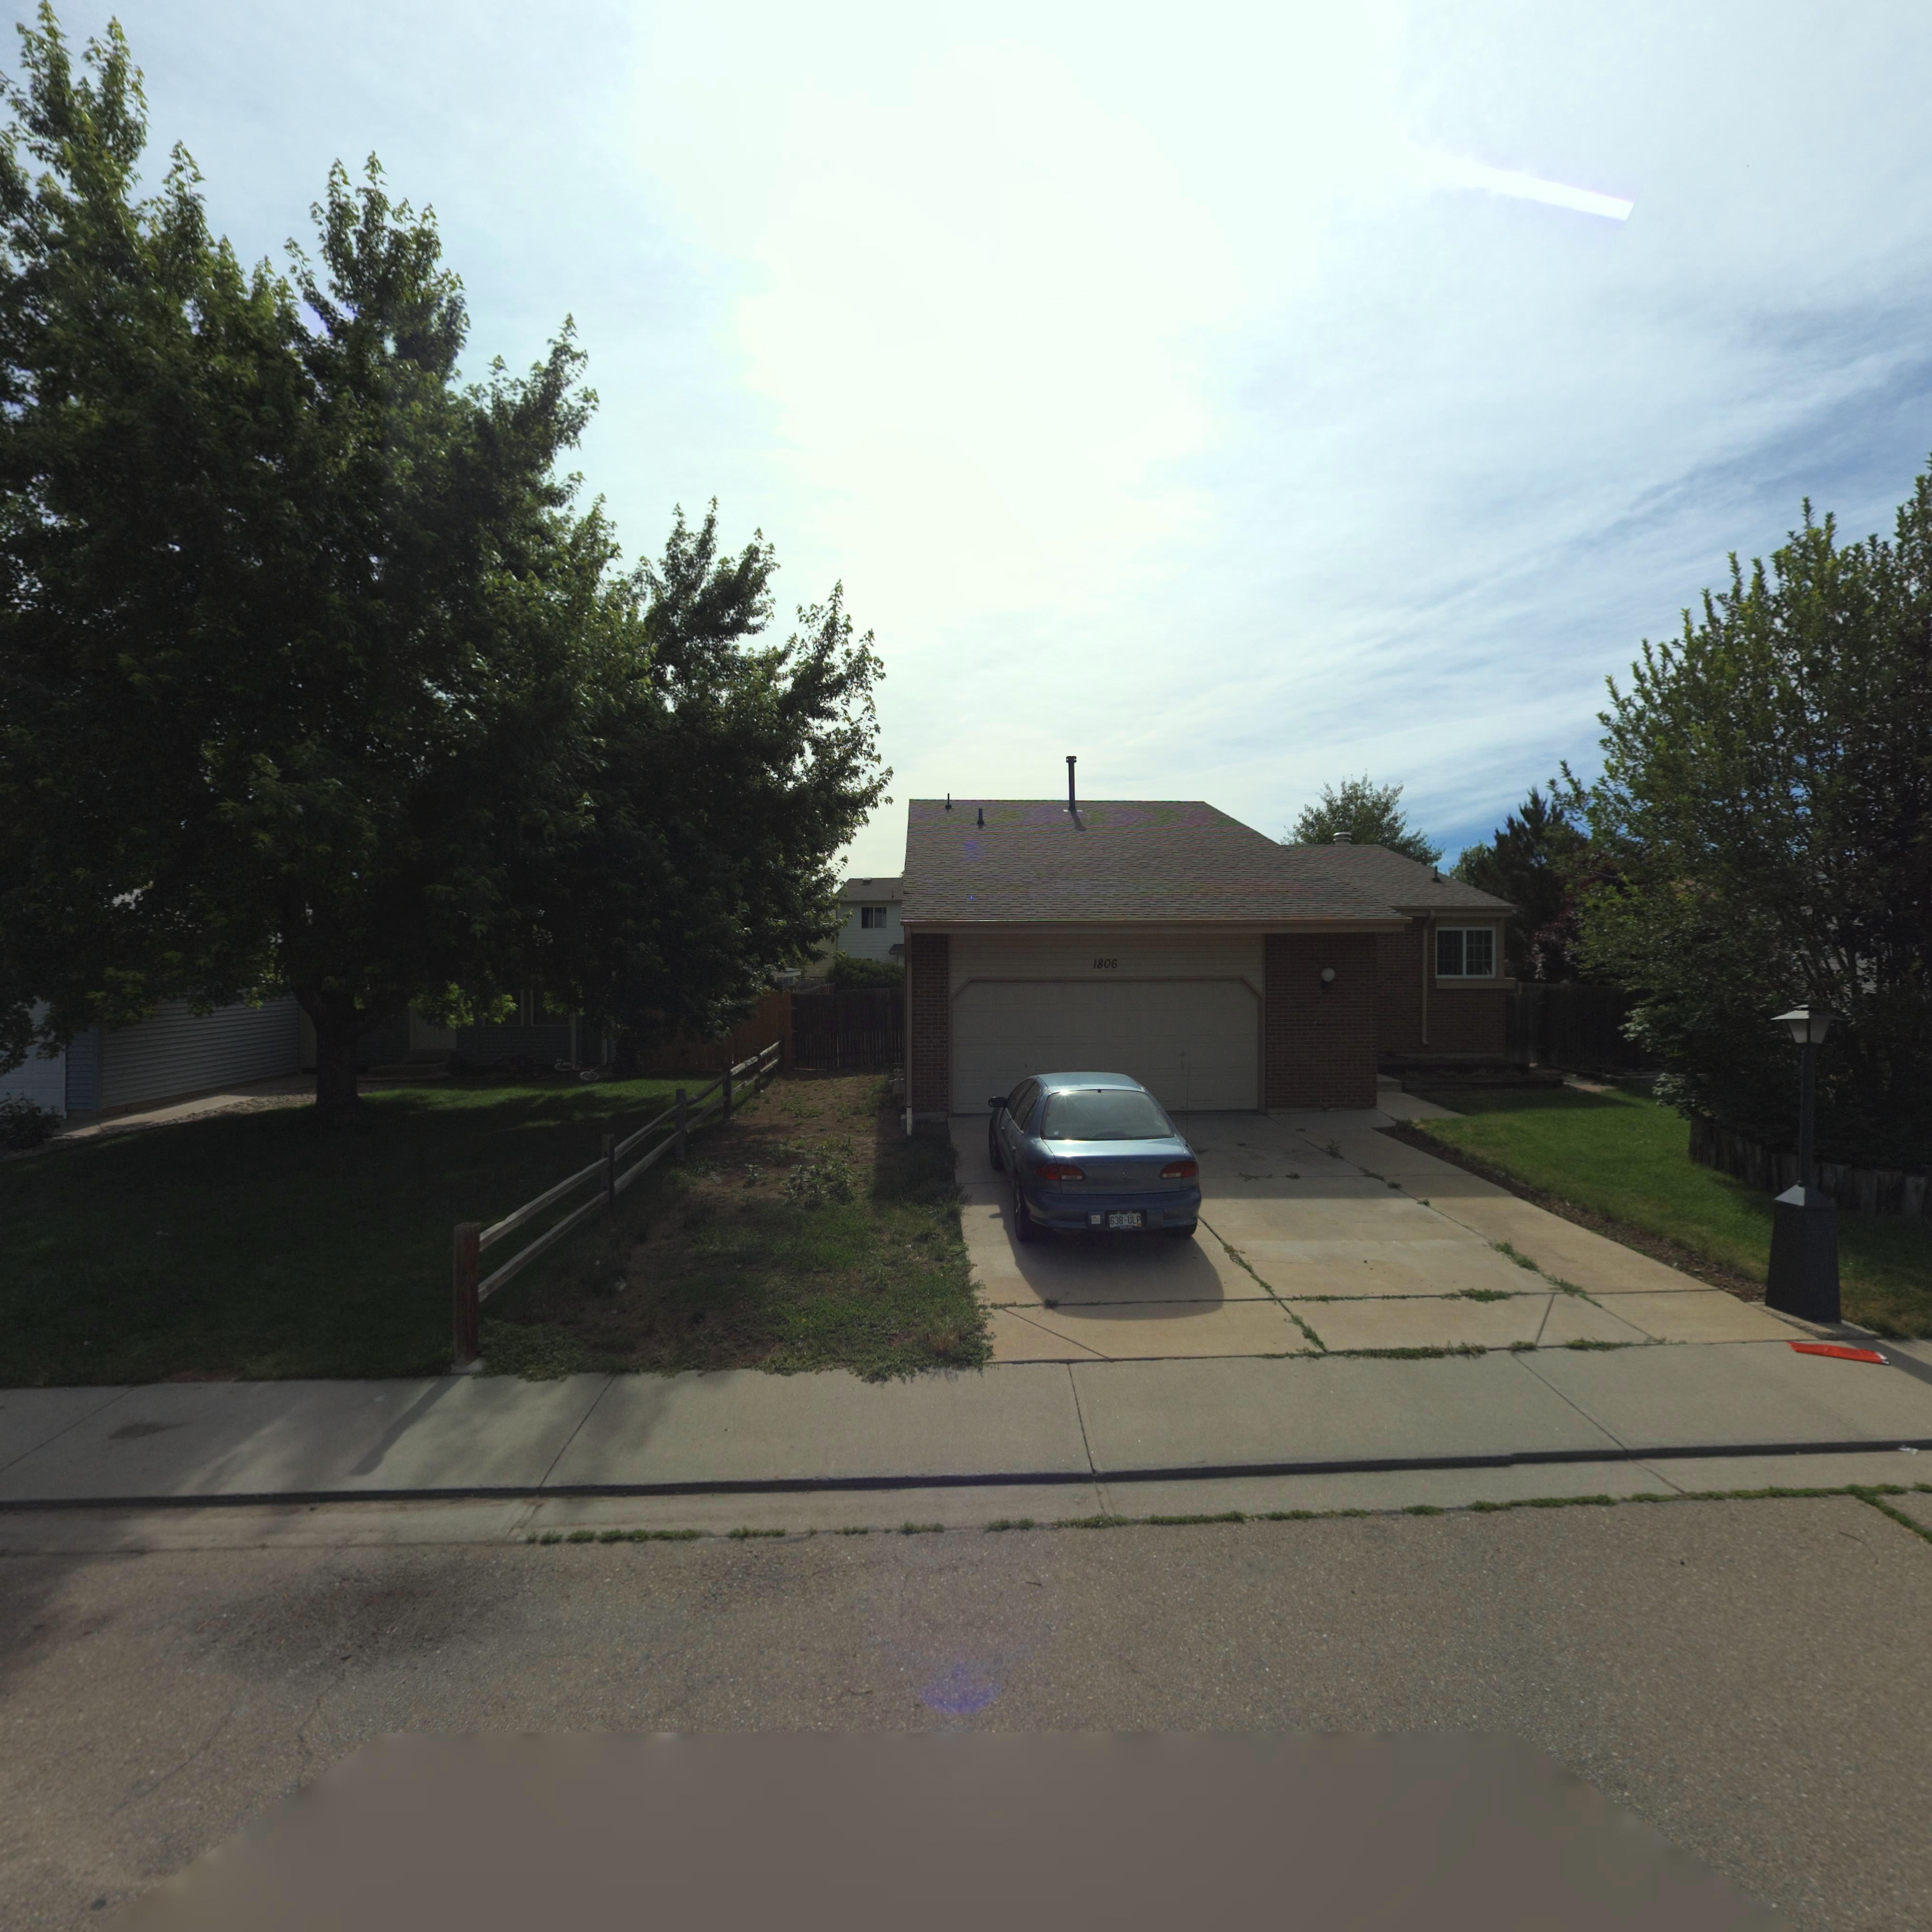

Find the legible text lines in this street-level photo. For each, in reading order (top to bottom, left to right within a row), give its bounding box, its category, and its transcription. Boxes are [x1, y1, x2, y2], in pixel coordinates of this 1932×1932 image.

[1093, 958, 1117, 968] StreetNumber: 1806